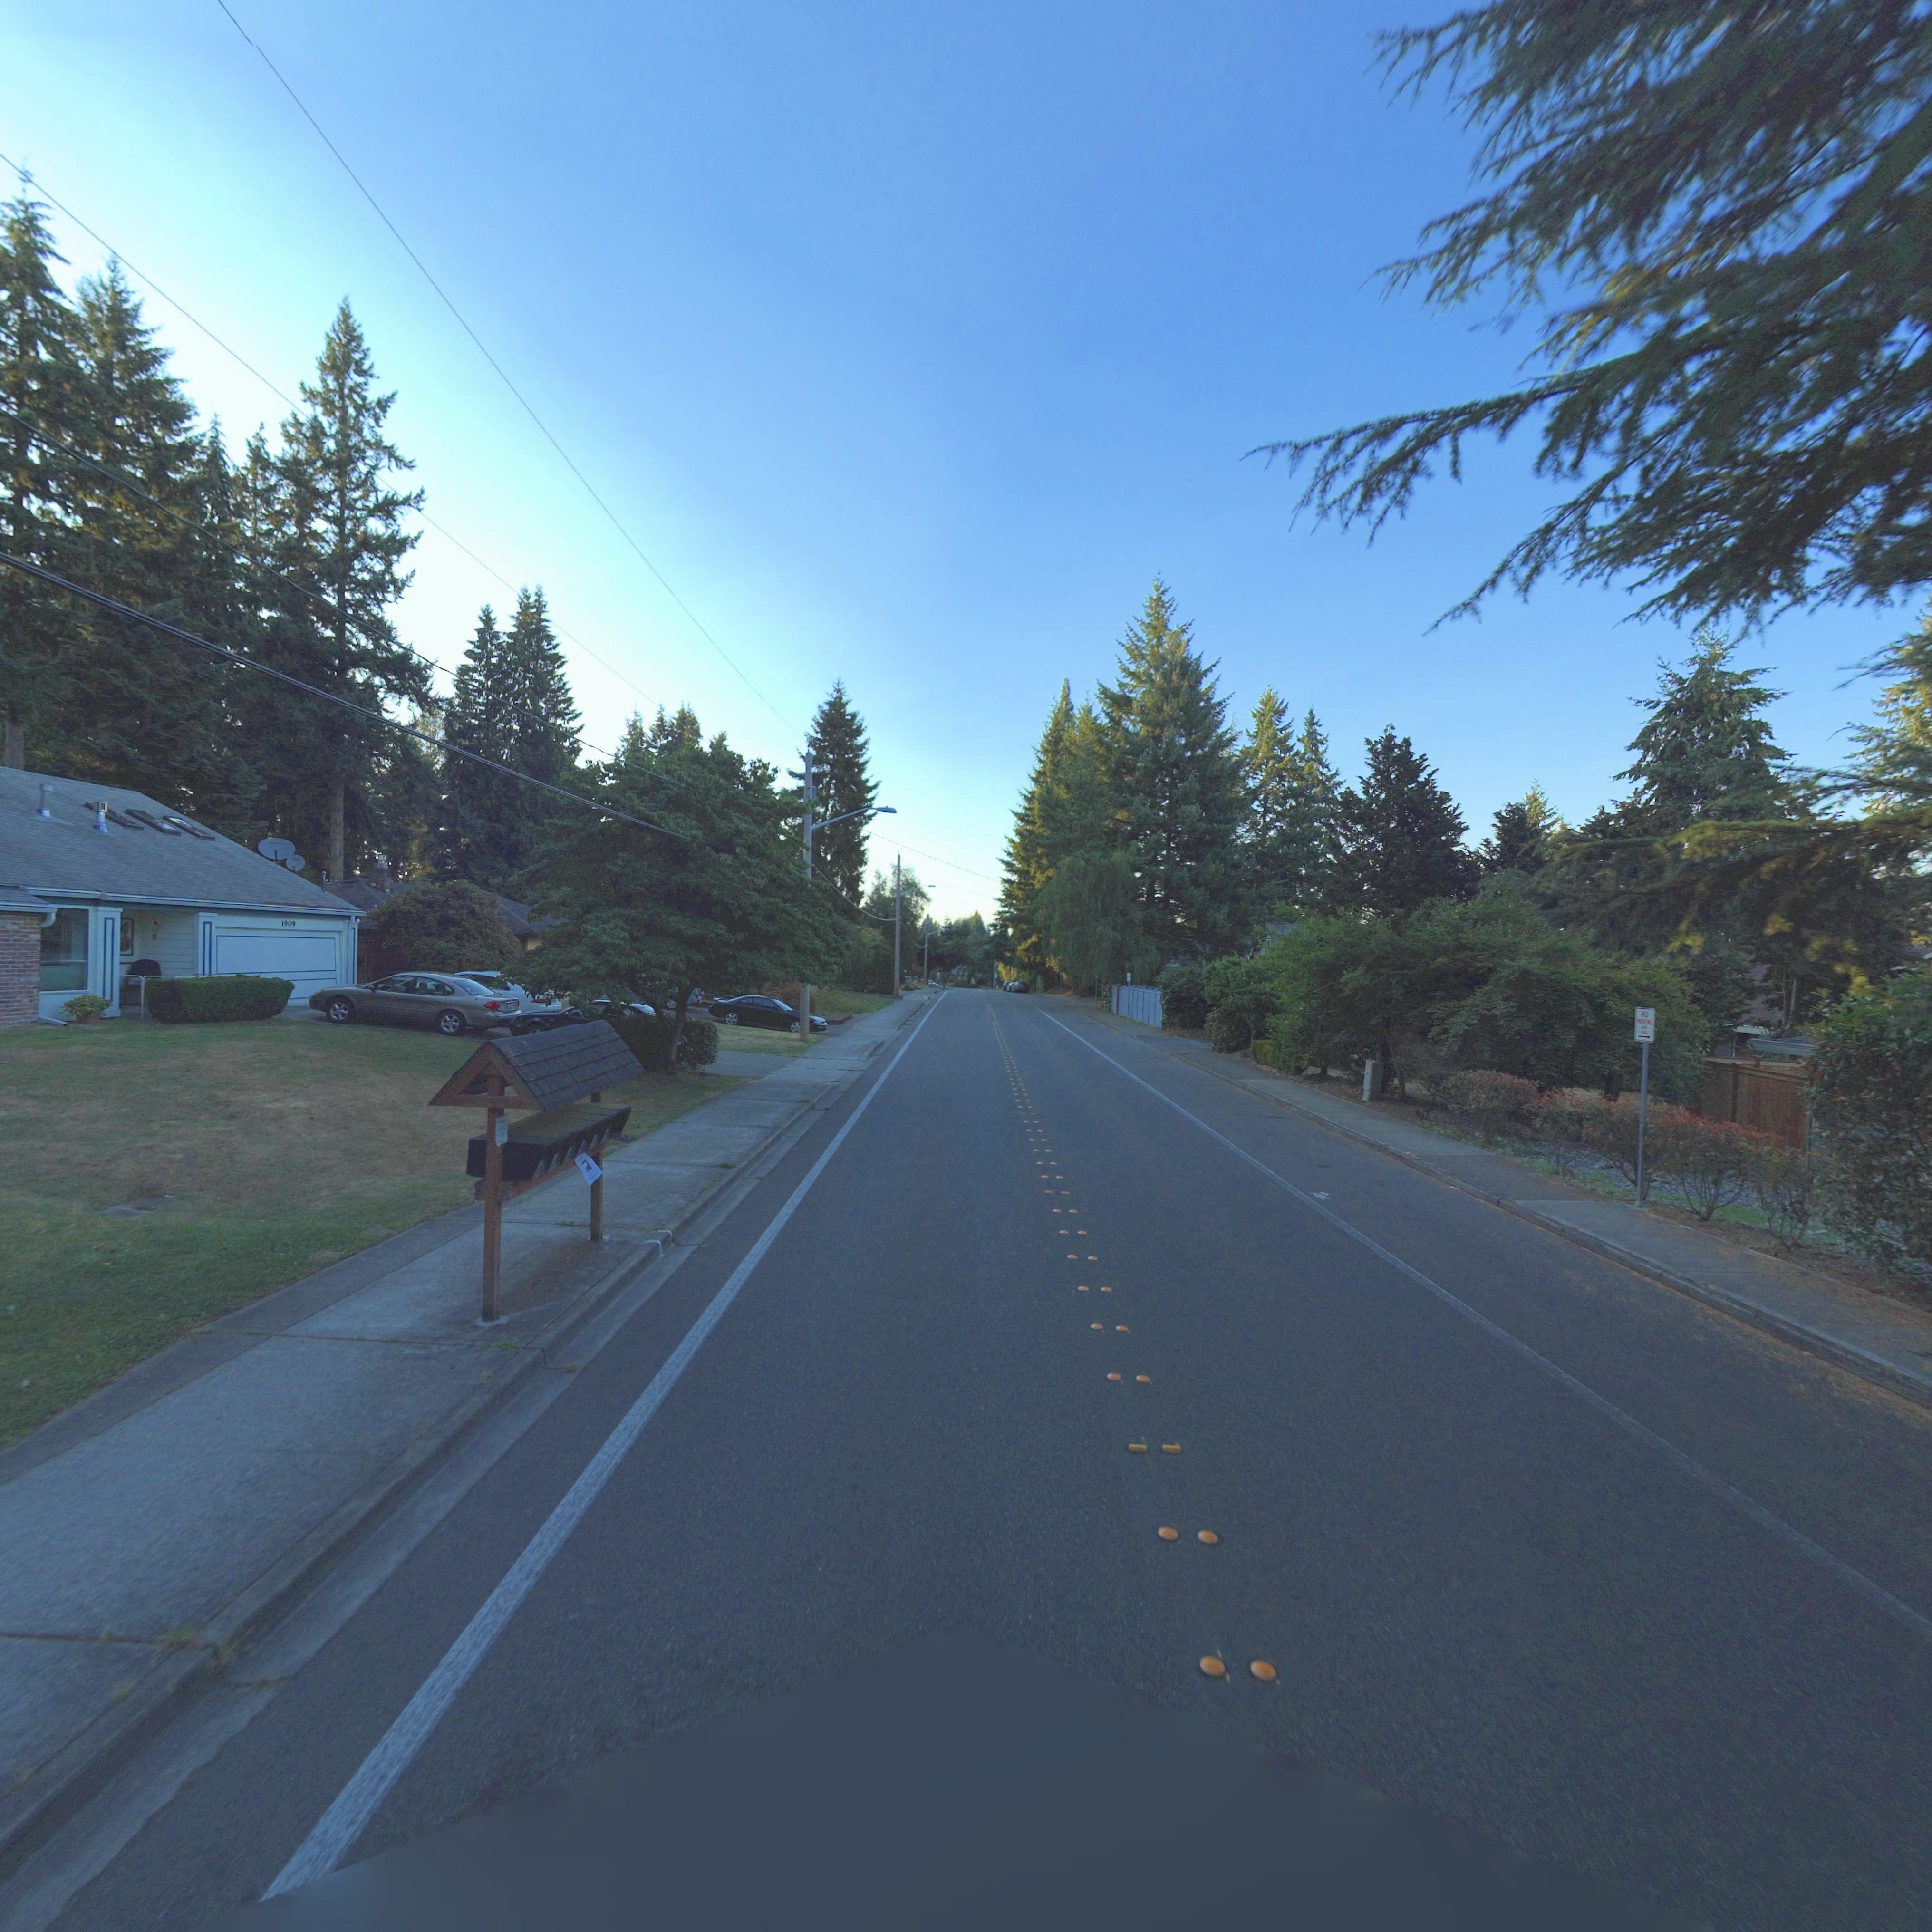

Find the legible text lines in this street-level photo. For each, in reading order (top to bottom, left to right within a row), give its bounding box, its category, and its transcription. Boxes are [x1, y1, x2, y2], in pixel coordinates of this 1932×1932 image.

[281, 920, 295, 927] StreetNumber: 1909